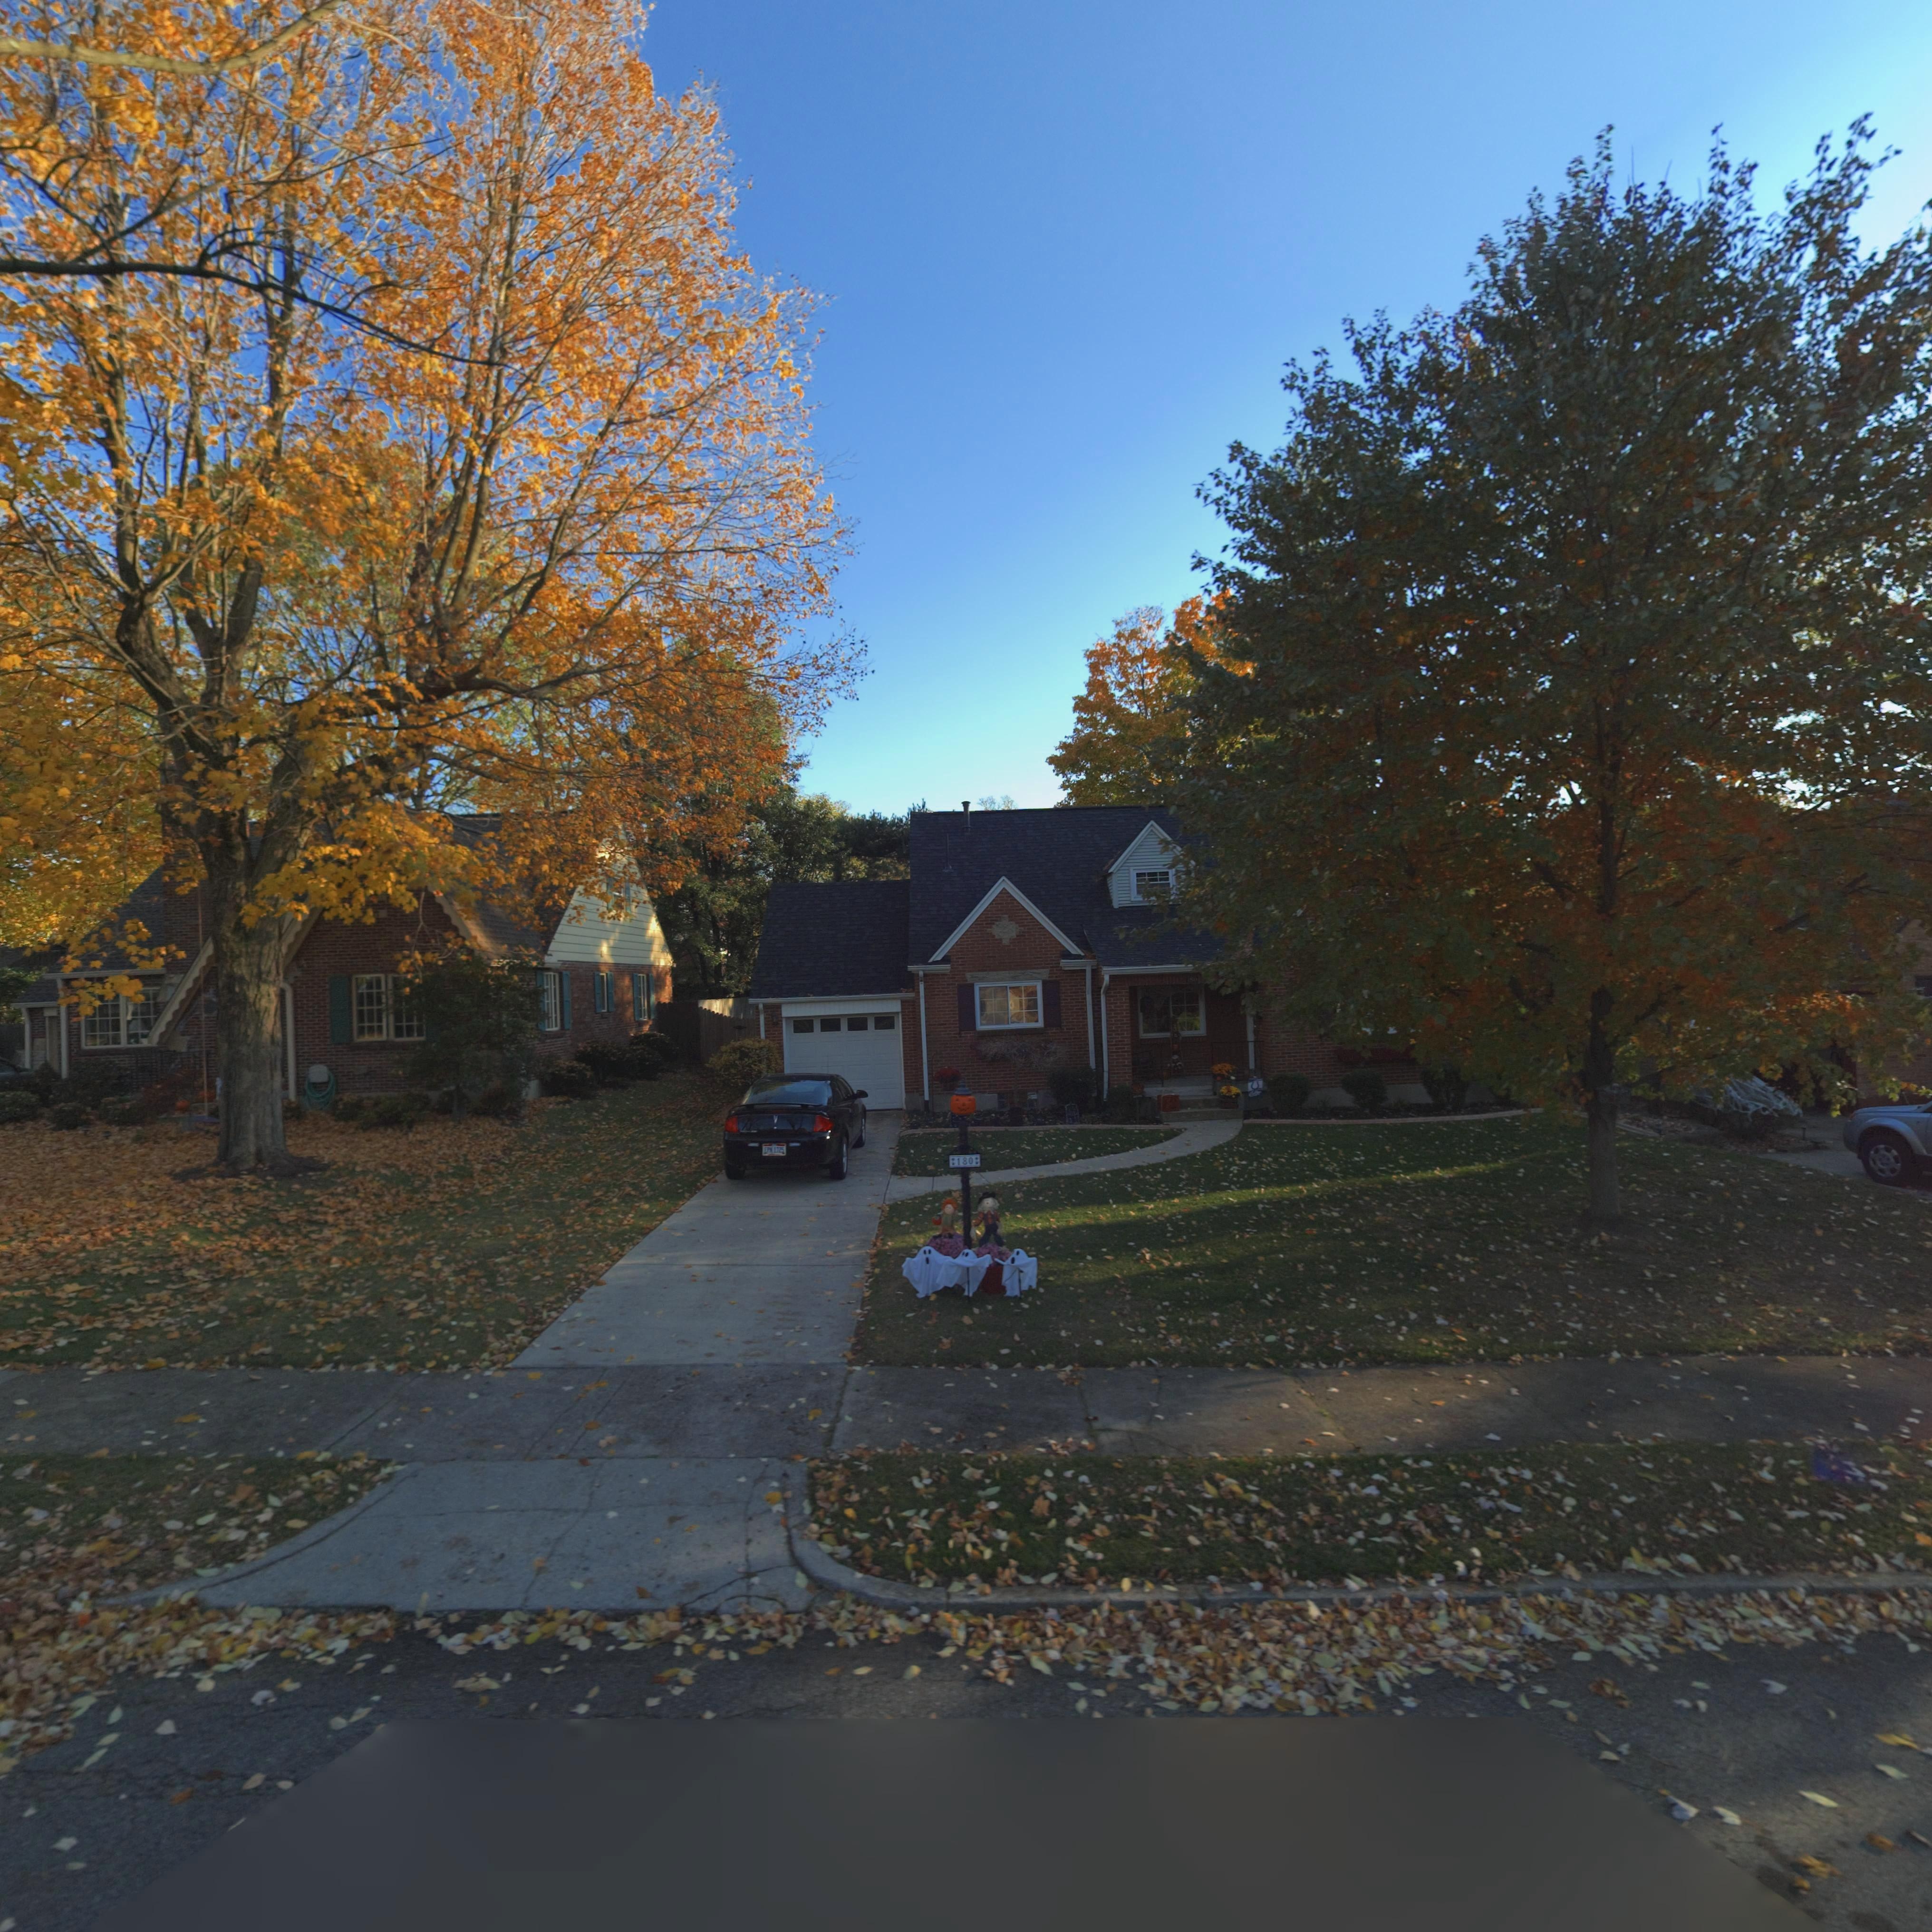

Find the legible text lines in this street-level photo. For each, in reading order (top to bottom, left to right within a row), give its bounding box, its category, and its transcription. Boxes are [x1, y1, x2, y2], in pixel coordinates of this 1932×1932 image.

[957, 1156, 975, 1166] StreetNumber: 180